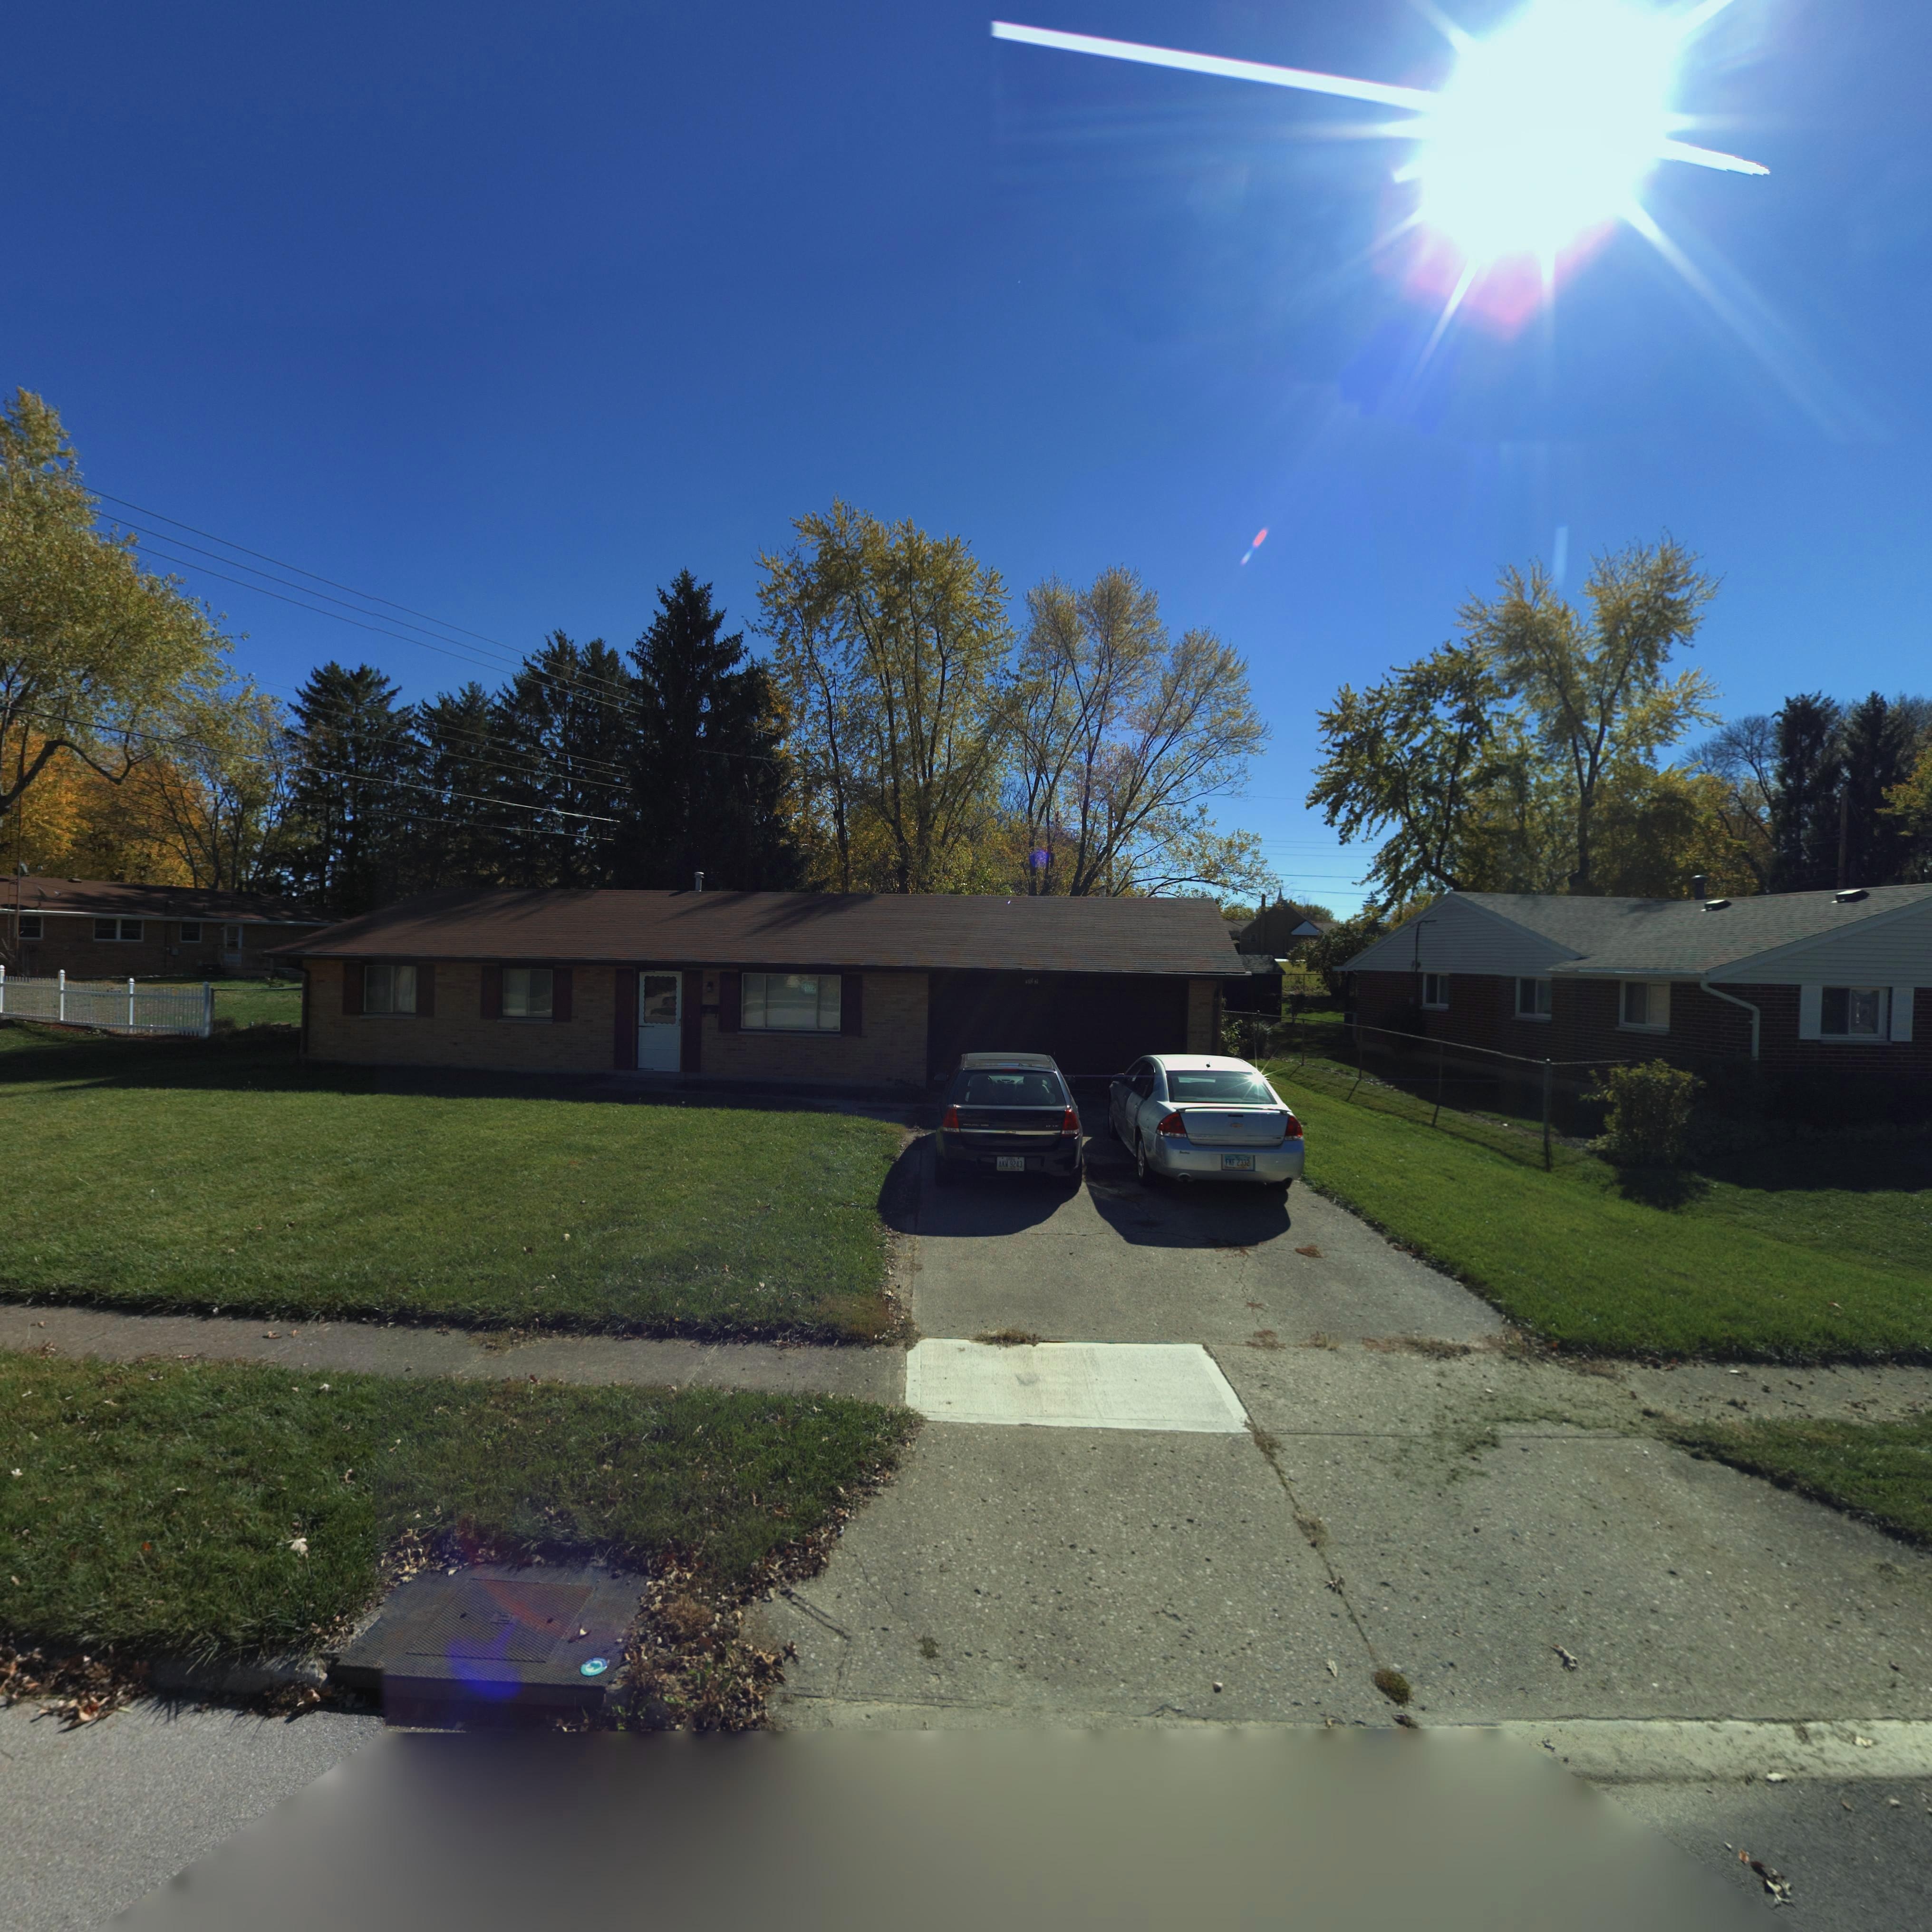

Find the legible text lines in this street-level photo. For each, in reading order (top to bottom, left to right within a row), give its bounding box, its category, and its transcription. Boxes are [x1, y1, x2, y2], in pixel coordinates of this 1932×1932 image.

[1024, 978, 1039, 985] StreetNumber: *0*
[998, 1159, 1023, 1168] None: AKW*9243
[1225, 1158, 1251, 1167] None: FKF*2332